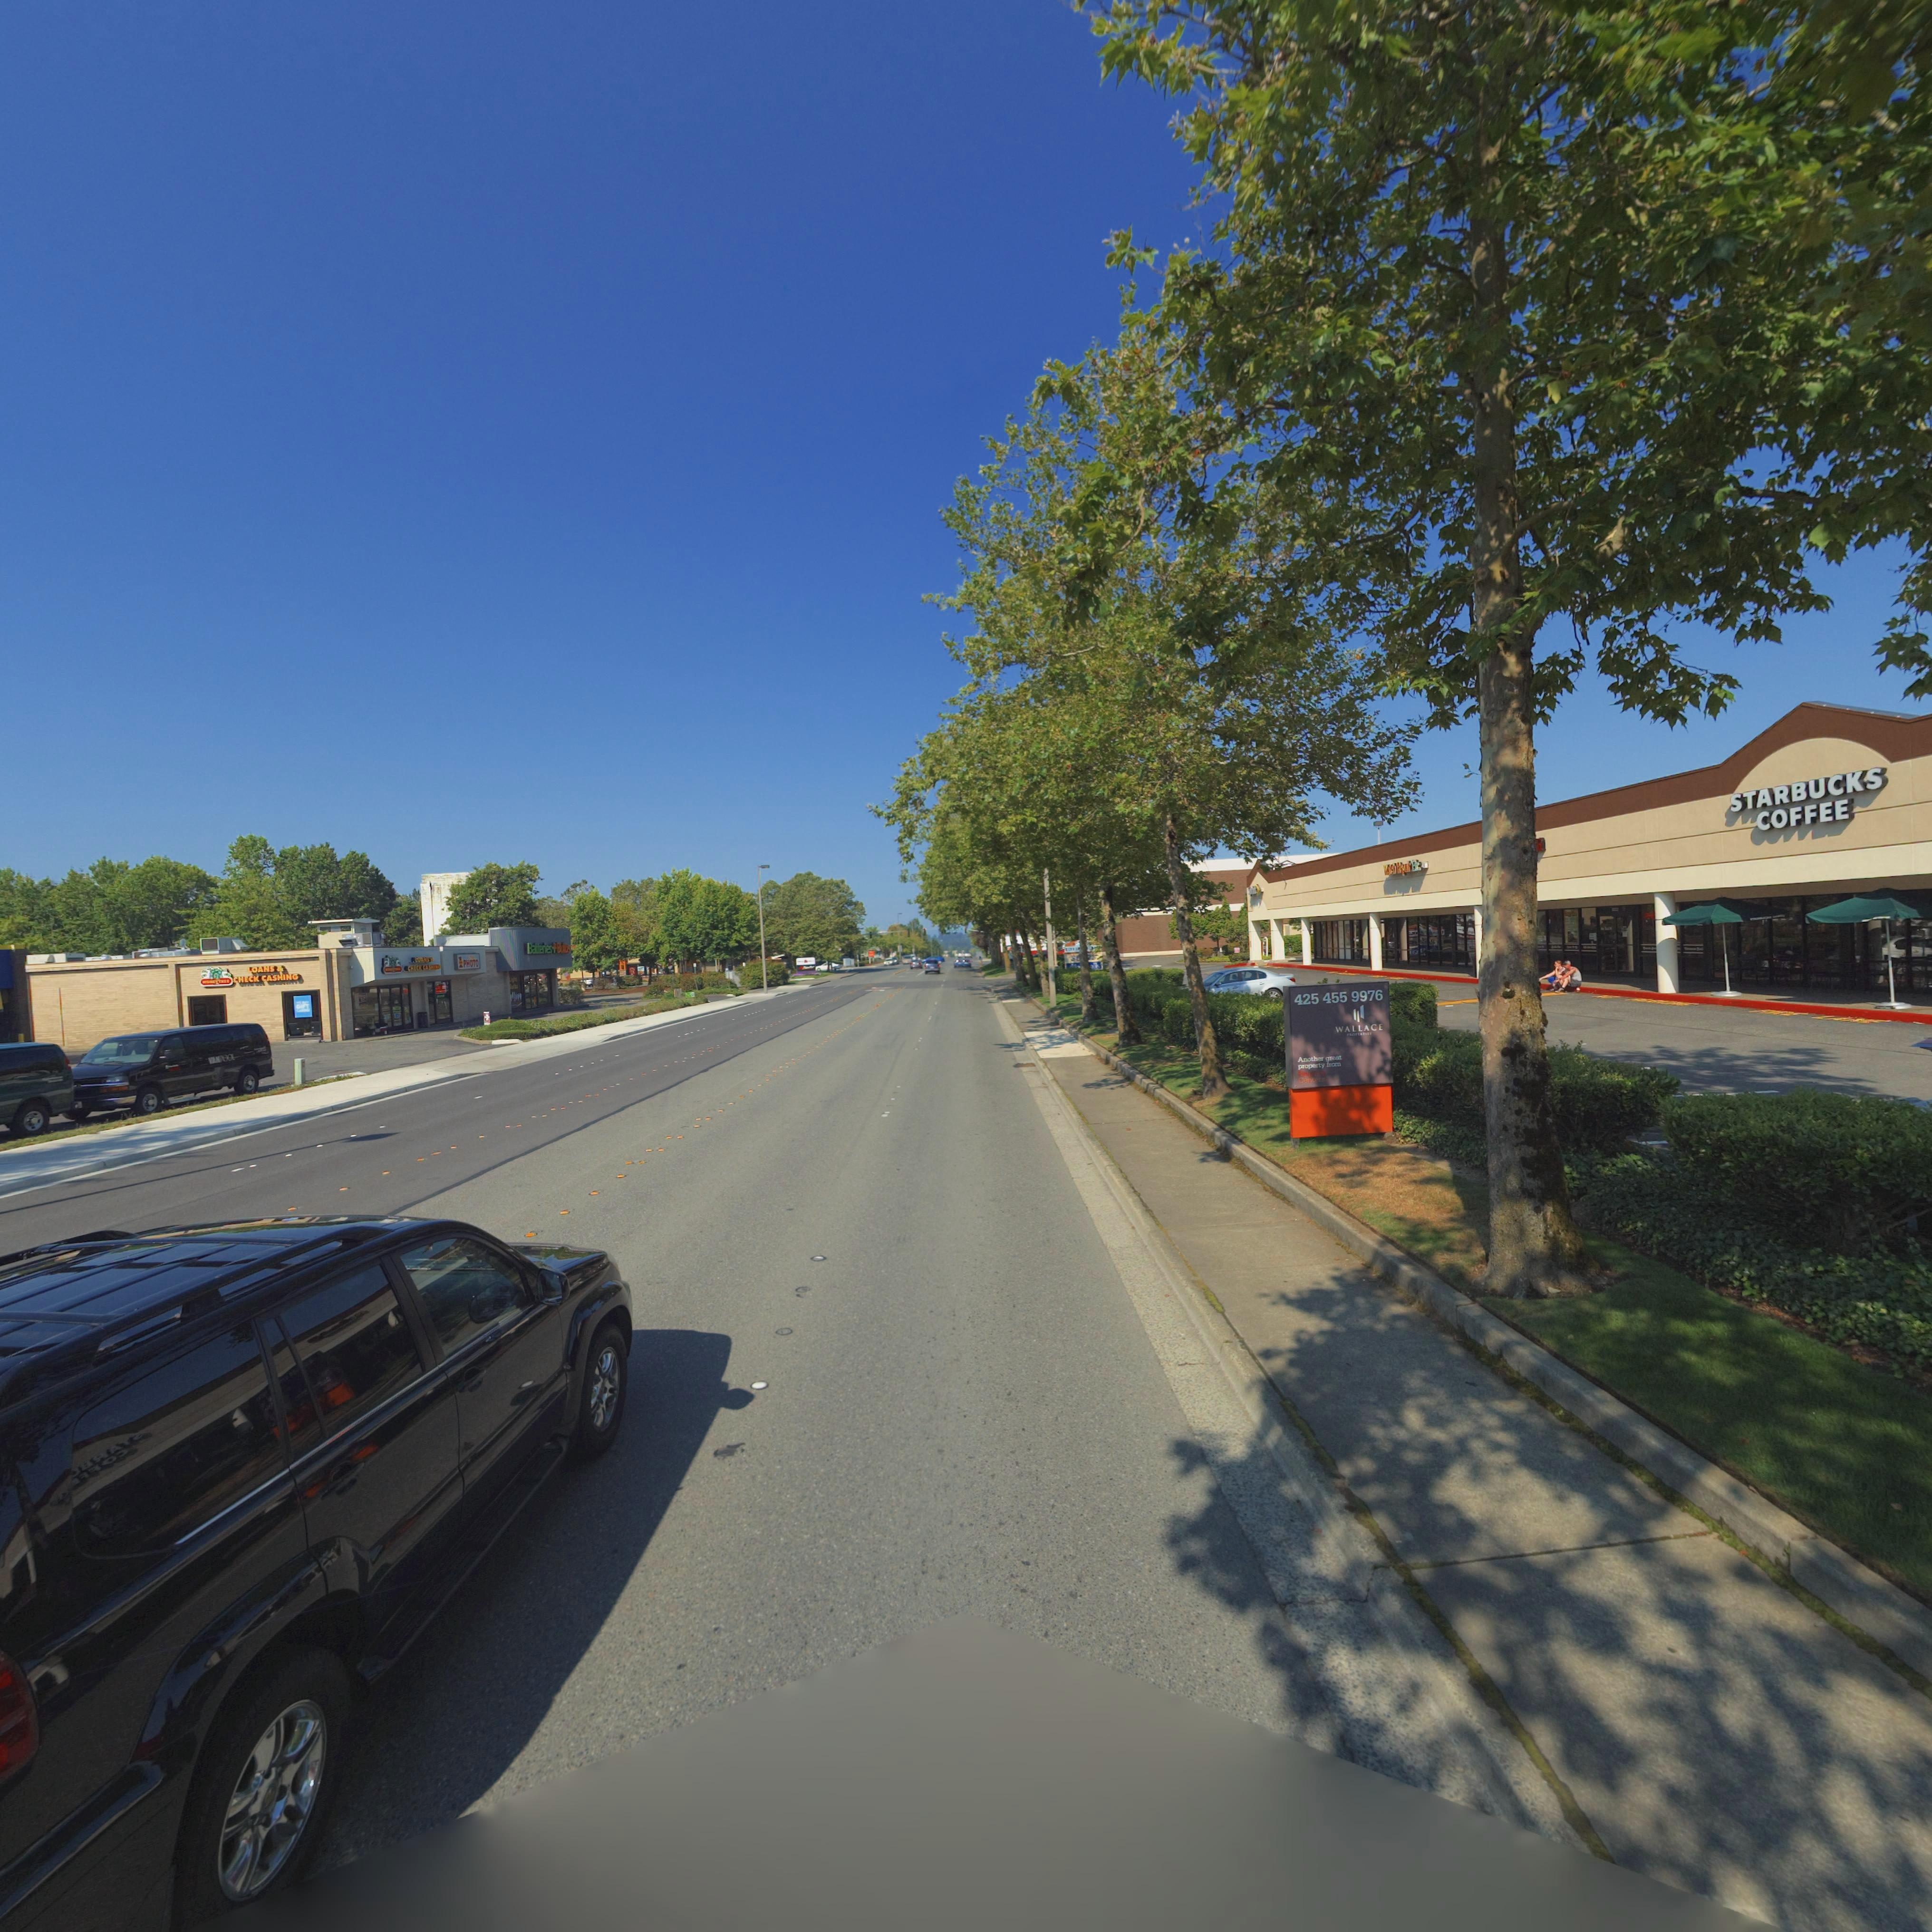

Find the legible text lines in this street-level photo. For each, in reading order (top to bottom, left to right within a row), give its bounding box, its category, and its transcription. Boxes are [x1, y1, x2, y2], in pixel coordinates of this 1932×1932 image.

[1728, 767, 1883, 812] BusinessName: STARBUCKS
[1755, 799, 1850, 830] BusinessName: COFFEE
[527, 942, 552, 954] BusinessName: Batteries
[247, 965, 275, 973] BusinessName: LOANS
[463, 959, 478, 967] BusinessName: PHOTO
[233, 974, 299, 984] BusinessName: CHECK CASHING